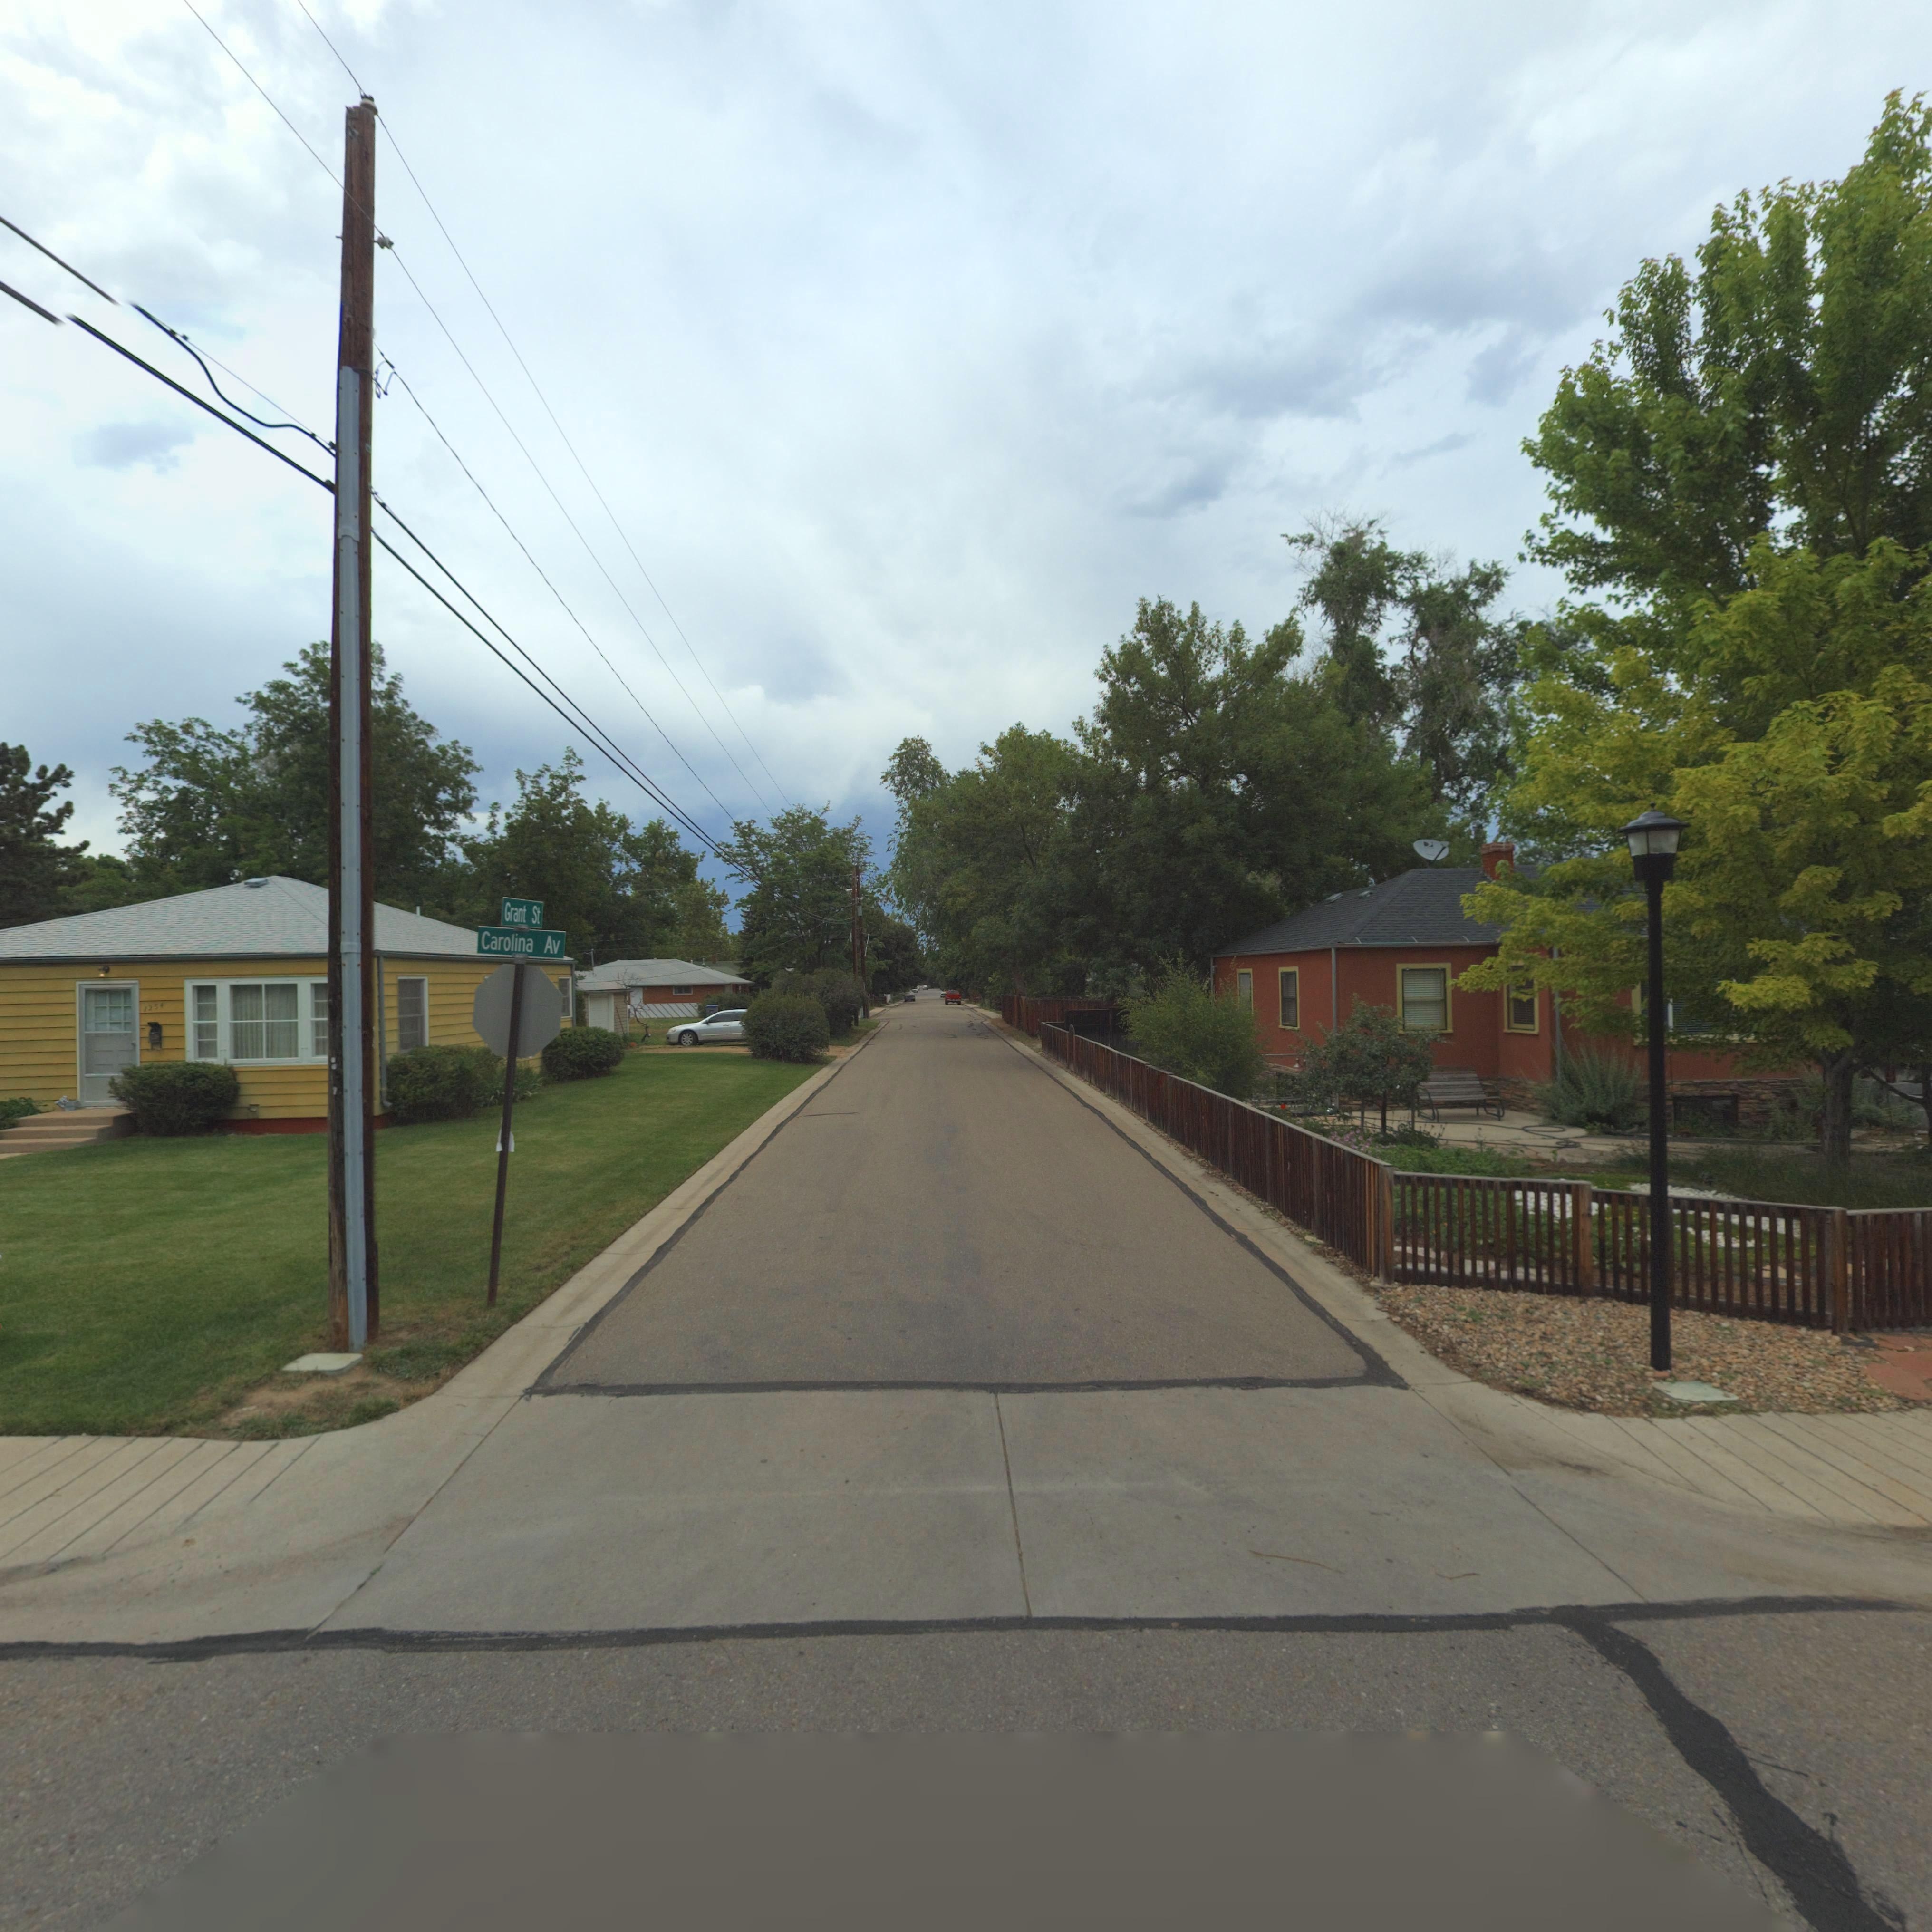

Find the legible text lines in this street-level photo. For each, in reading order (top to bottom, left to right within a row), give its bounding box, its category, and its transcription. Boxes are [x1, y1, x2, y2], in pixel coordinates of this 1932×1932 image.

[504, 901, 540, 924] StreetName: Grant St
[482, 930, 560, 954] StreetName: Carolina Av
[144, 1001, 164, 1013] StreetNumber: 1254